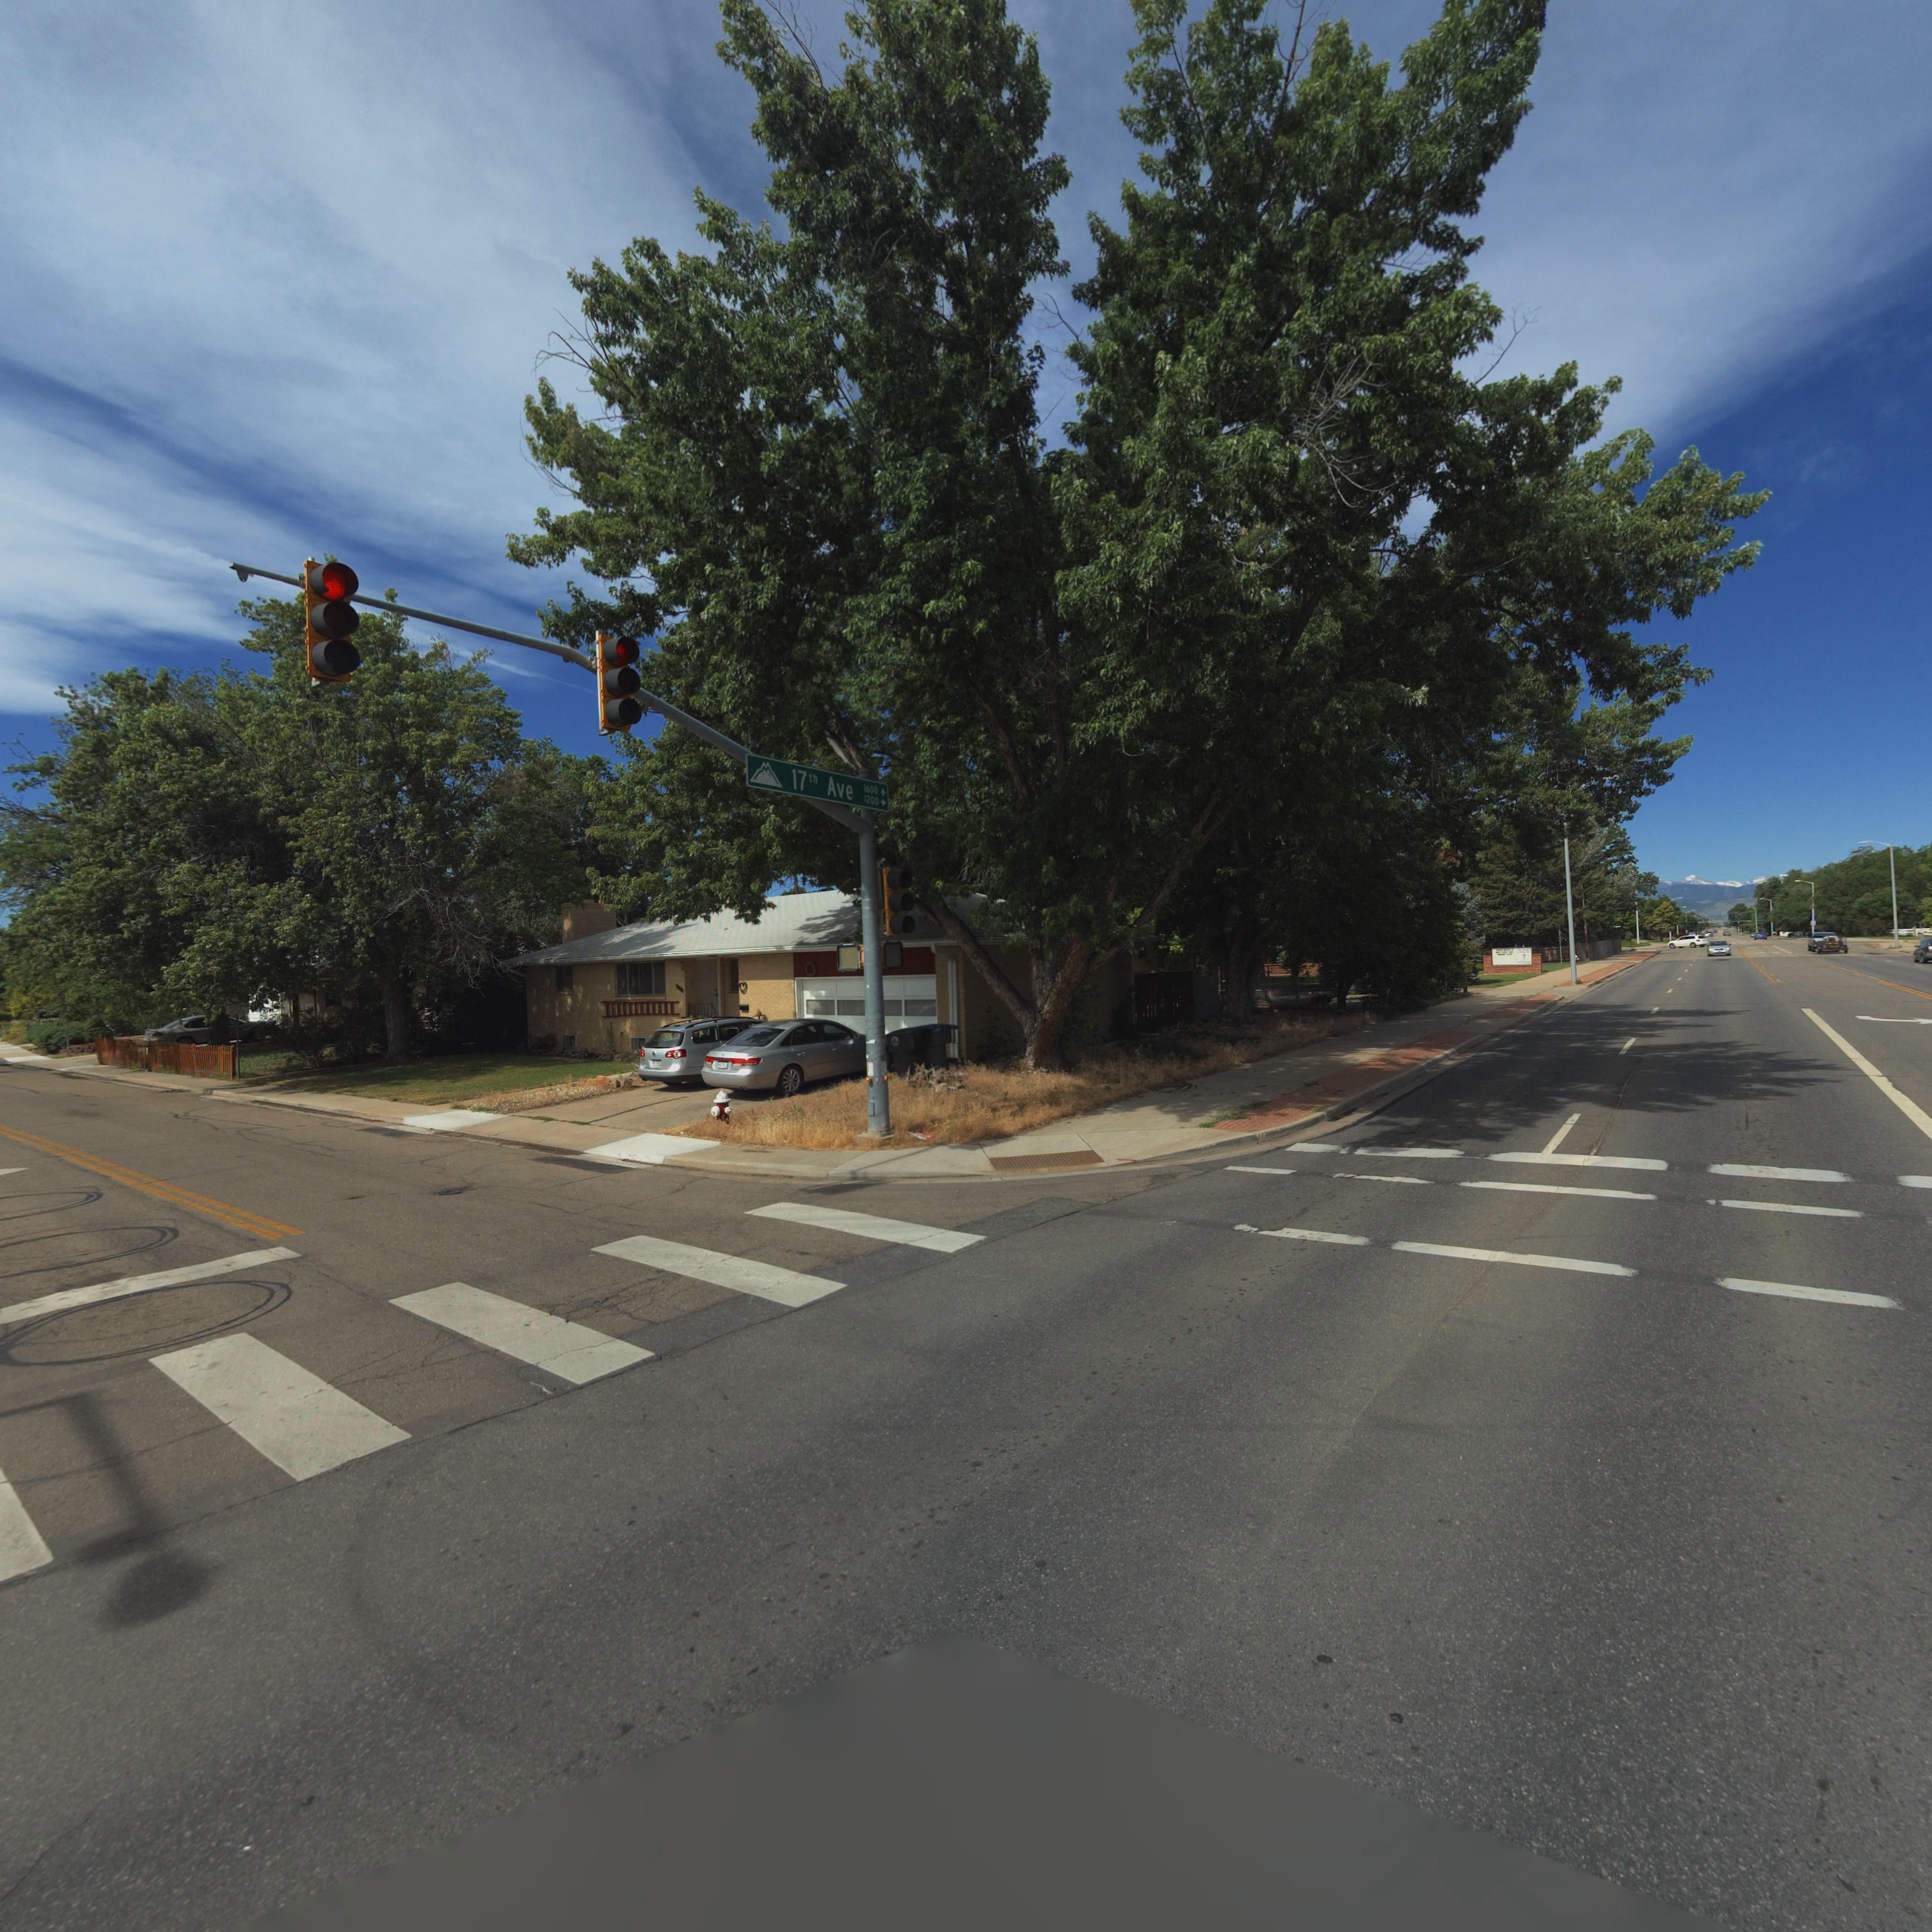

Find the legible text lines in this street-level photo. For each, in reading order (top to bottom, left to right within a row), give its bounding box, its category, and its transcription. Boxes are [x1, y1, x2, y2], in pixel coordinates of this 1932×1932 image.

[792, 767, 854, 801] StreetName: 17th Ave
[863, 782, 879, 795] StreetNumberRange: 1600
[862, 793, 888, 806] StreetNumberRange: 1200->